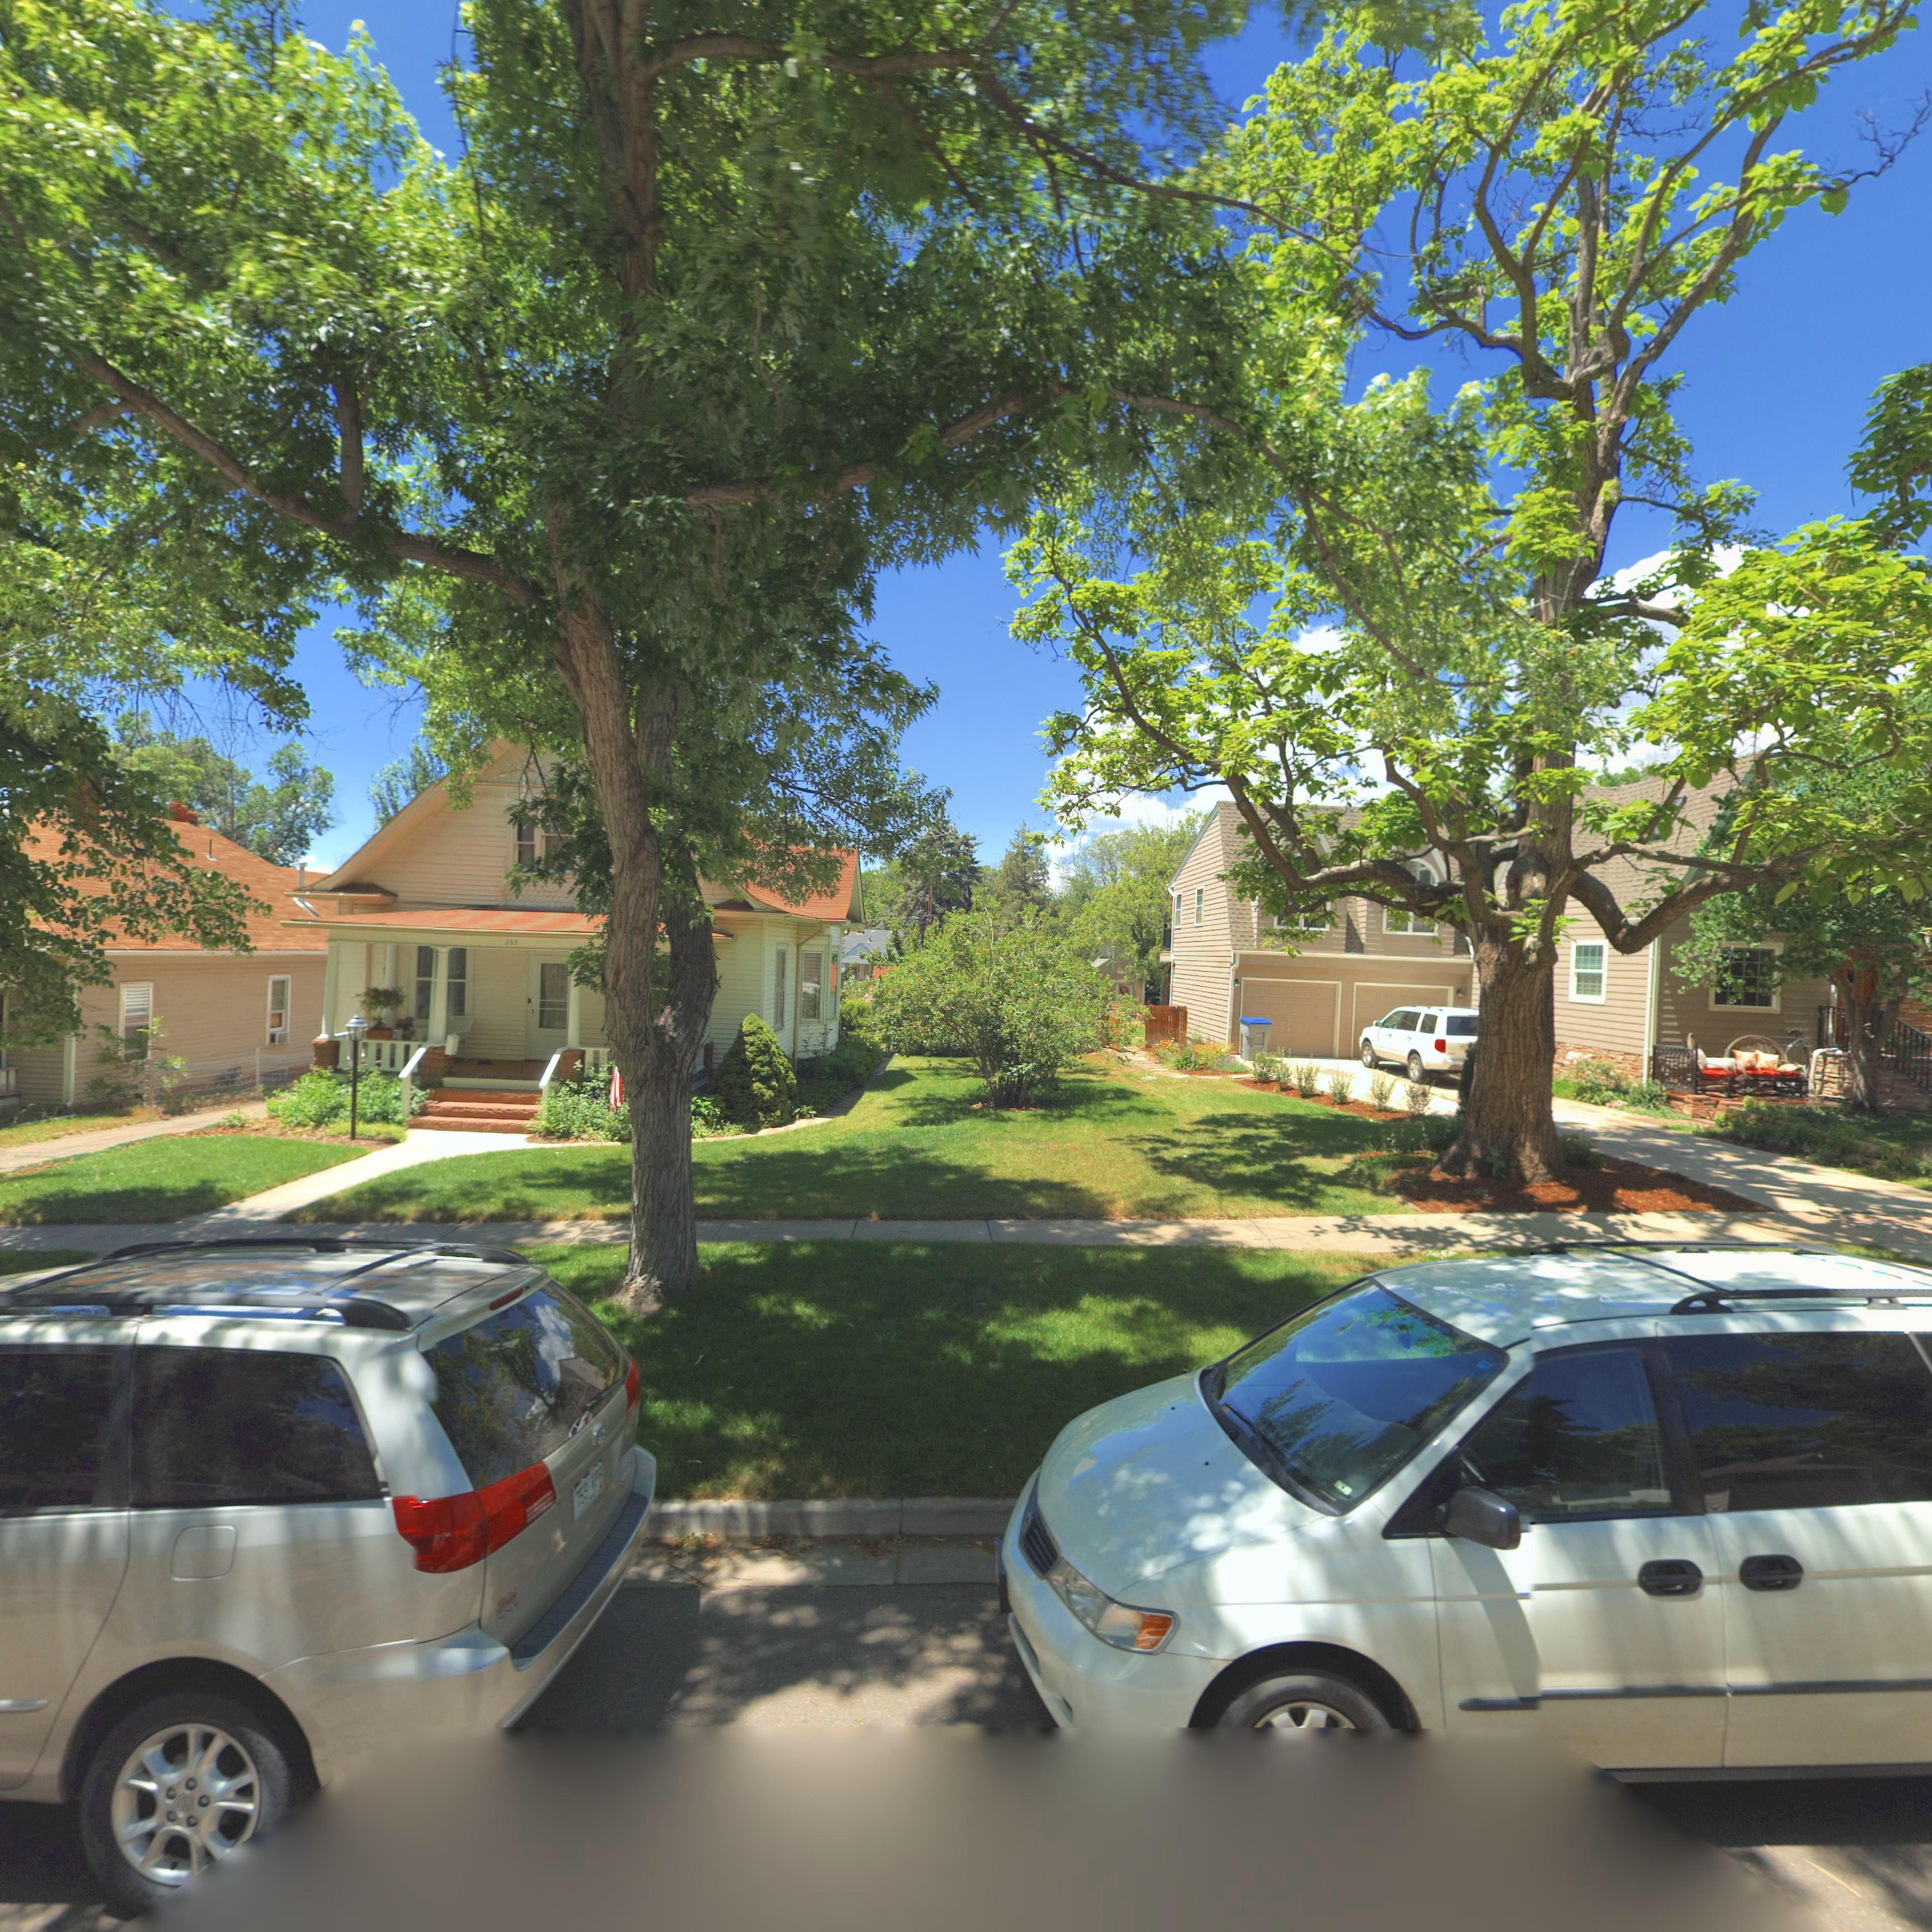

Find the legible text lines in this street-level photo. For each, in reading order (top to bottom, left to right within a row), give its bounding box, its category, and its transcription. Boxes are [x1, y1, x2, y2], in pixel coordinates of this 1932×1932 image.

[504, 939, 518, 945] StreetNumber: 269